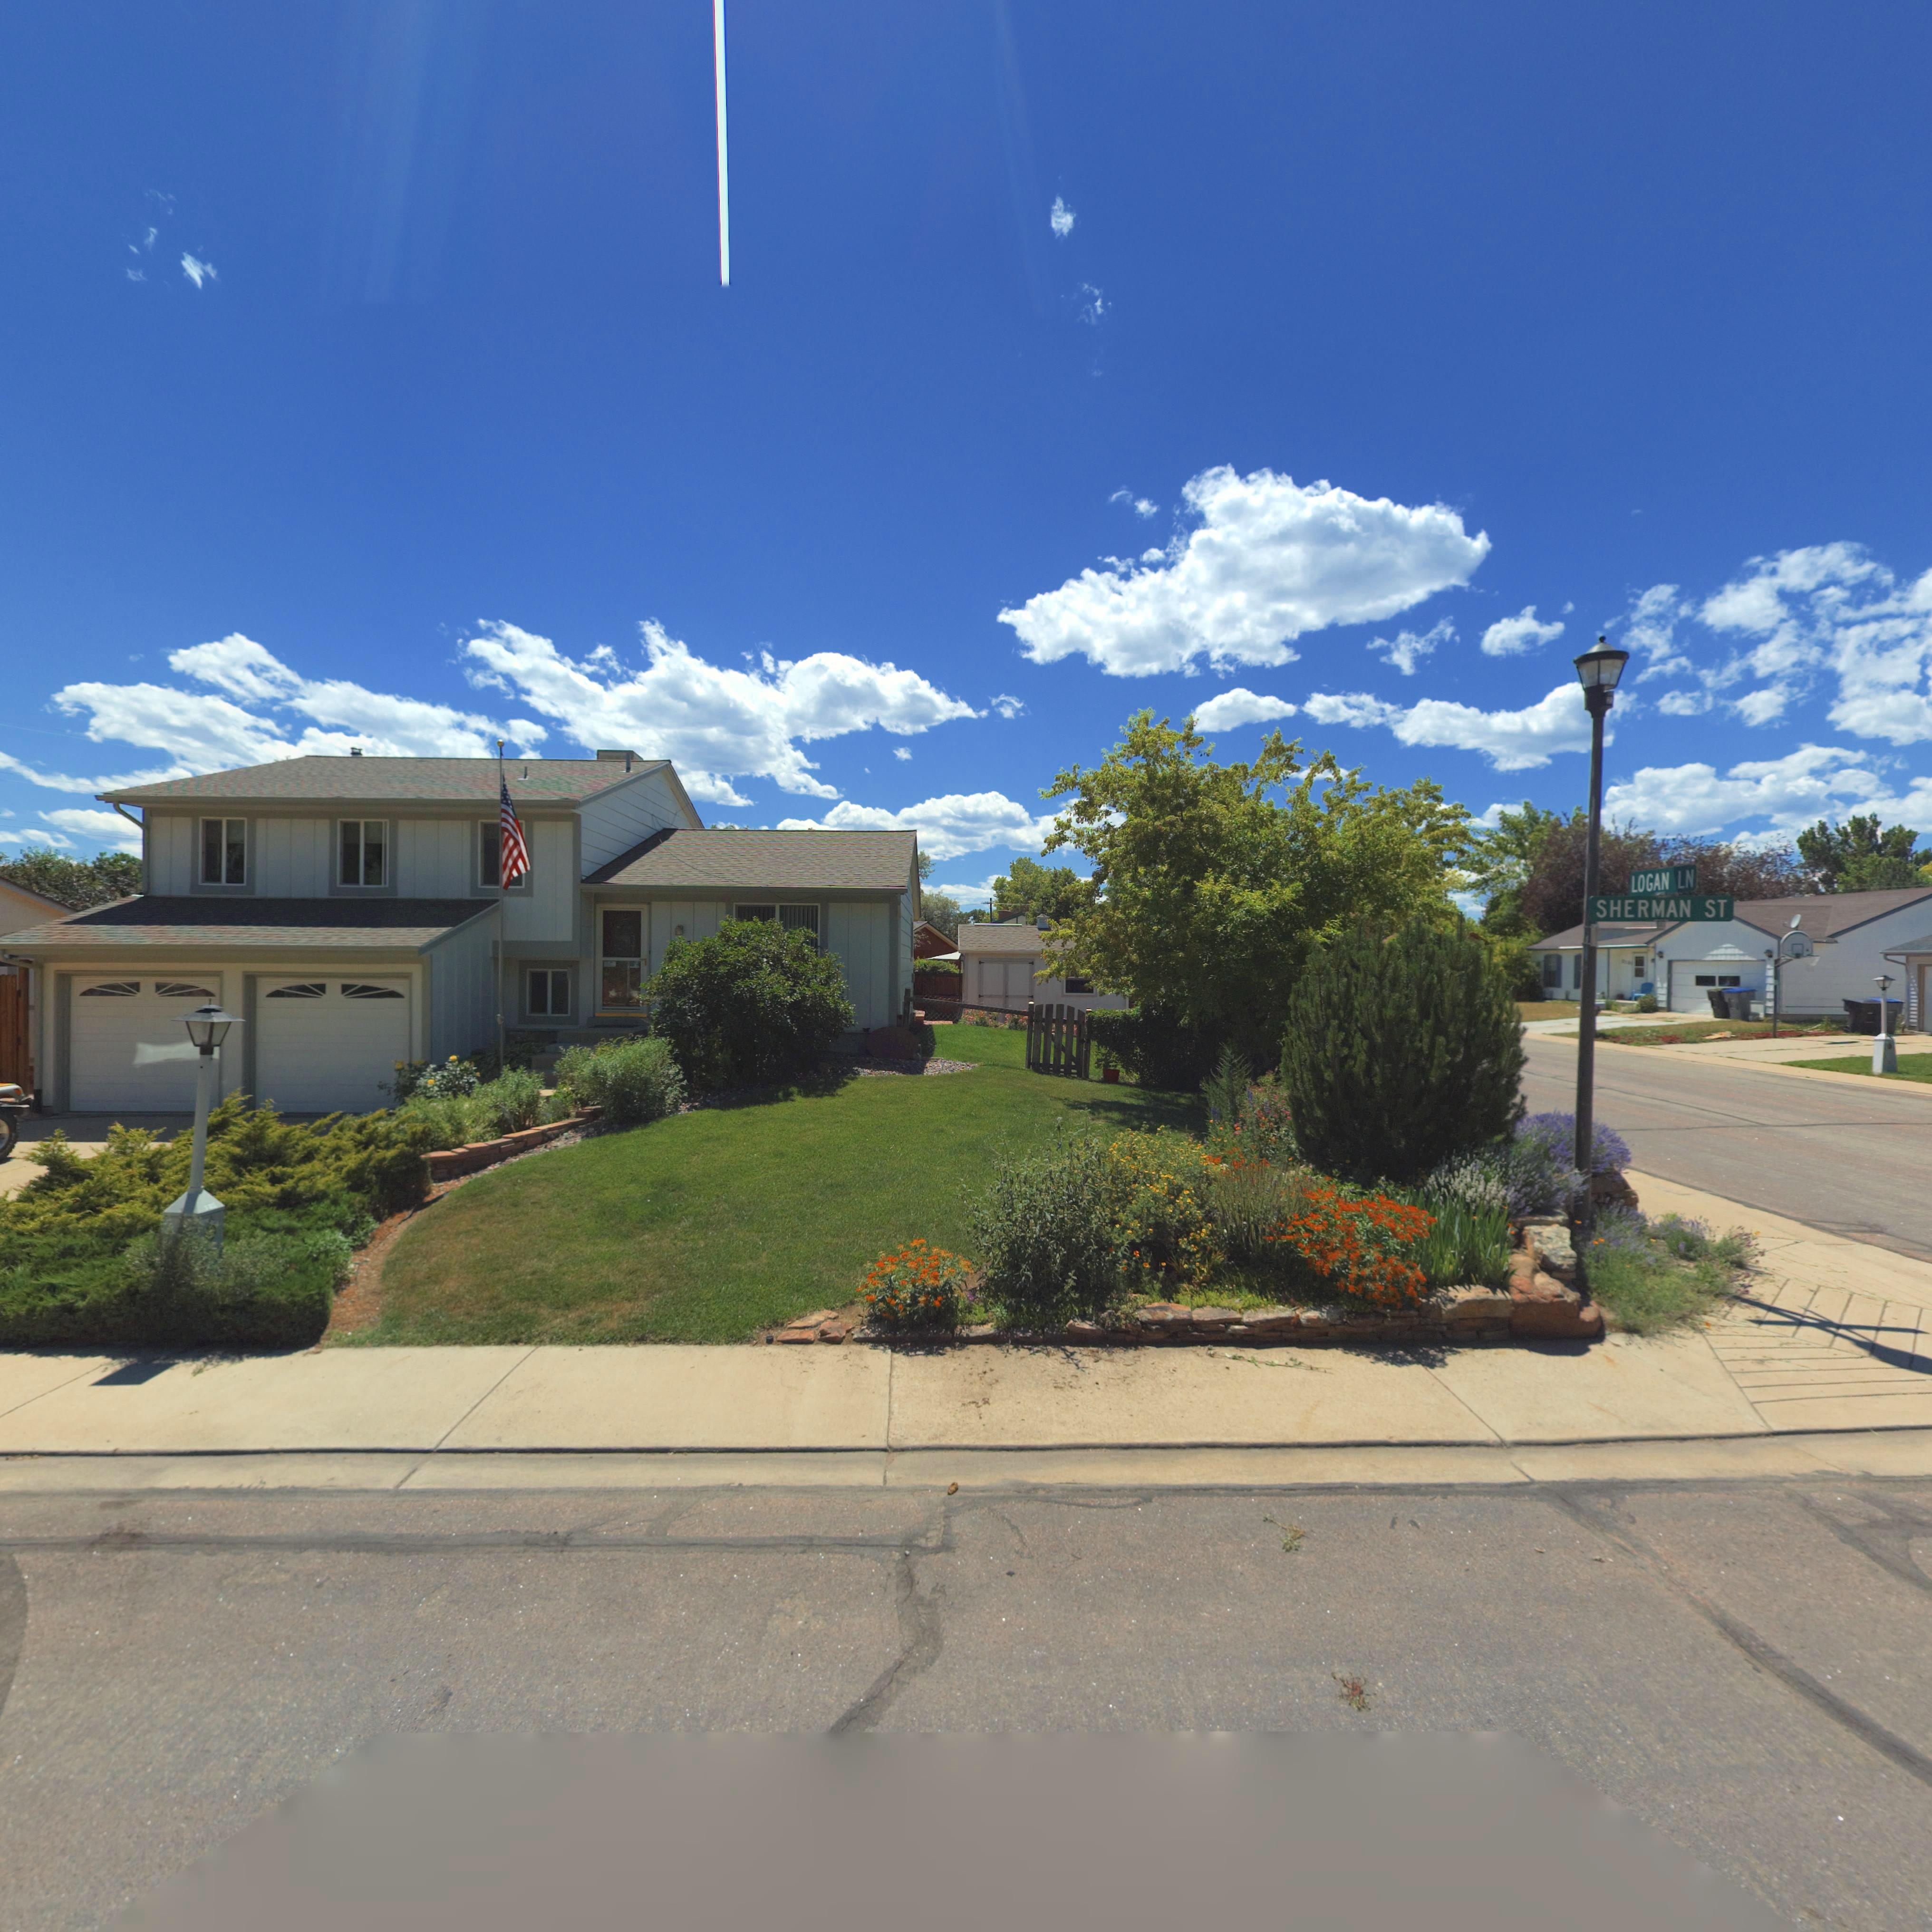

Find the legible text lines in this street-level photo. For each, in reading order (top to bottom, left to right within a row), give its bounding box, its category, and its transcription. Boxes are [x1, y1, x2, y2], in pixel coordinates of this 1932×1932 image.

[1630, 868, 1696, 893] StreetName: LOGAN LN
[1595, 898, 1729, 919] StreetName: SHERMAN ST